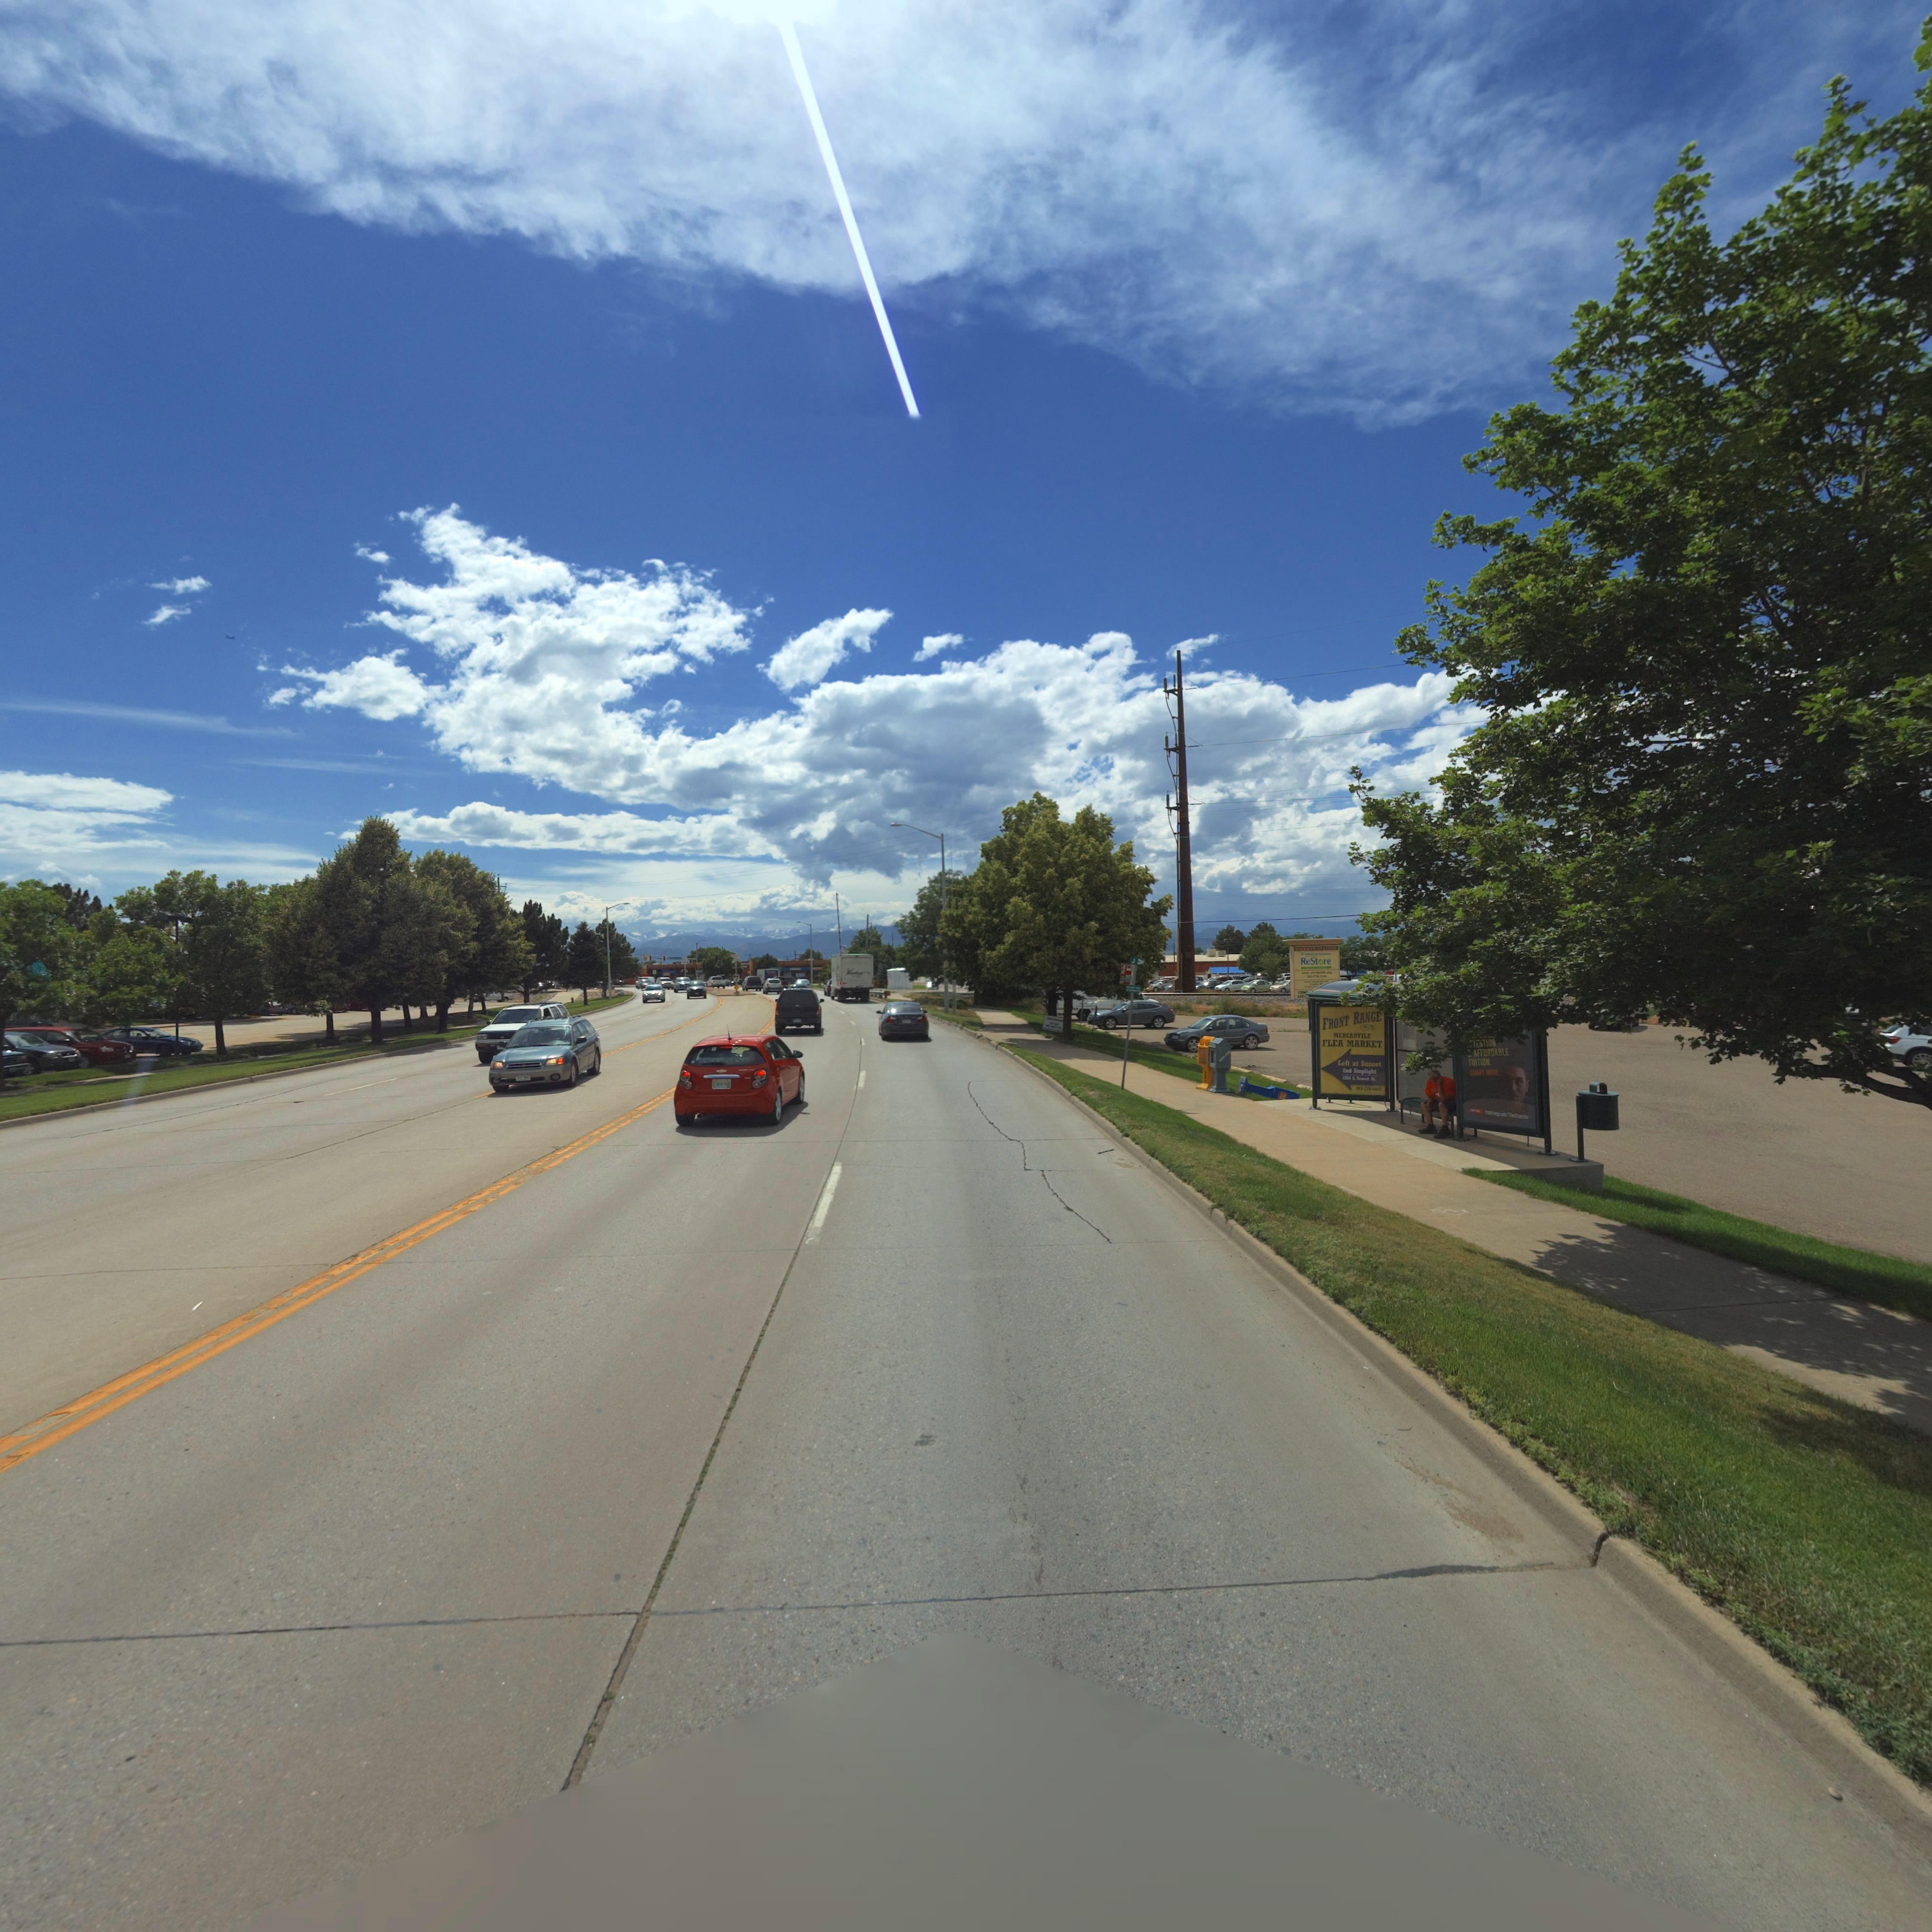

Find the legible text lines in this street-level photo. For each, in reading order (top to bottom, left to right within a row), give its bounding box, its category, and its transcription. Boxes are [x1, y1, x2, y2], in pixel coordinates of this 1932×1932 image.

[1300, 956, 1331, 965] BusinessName: ReStore